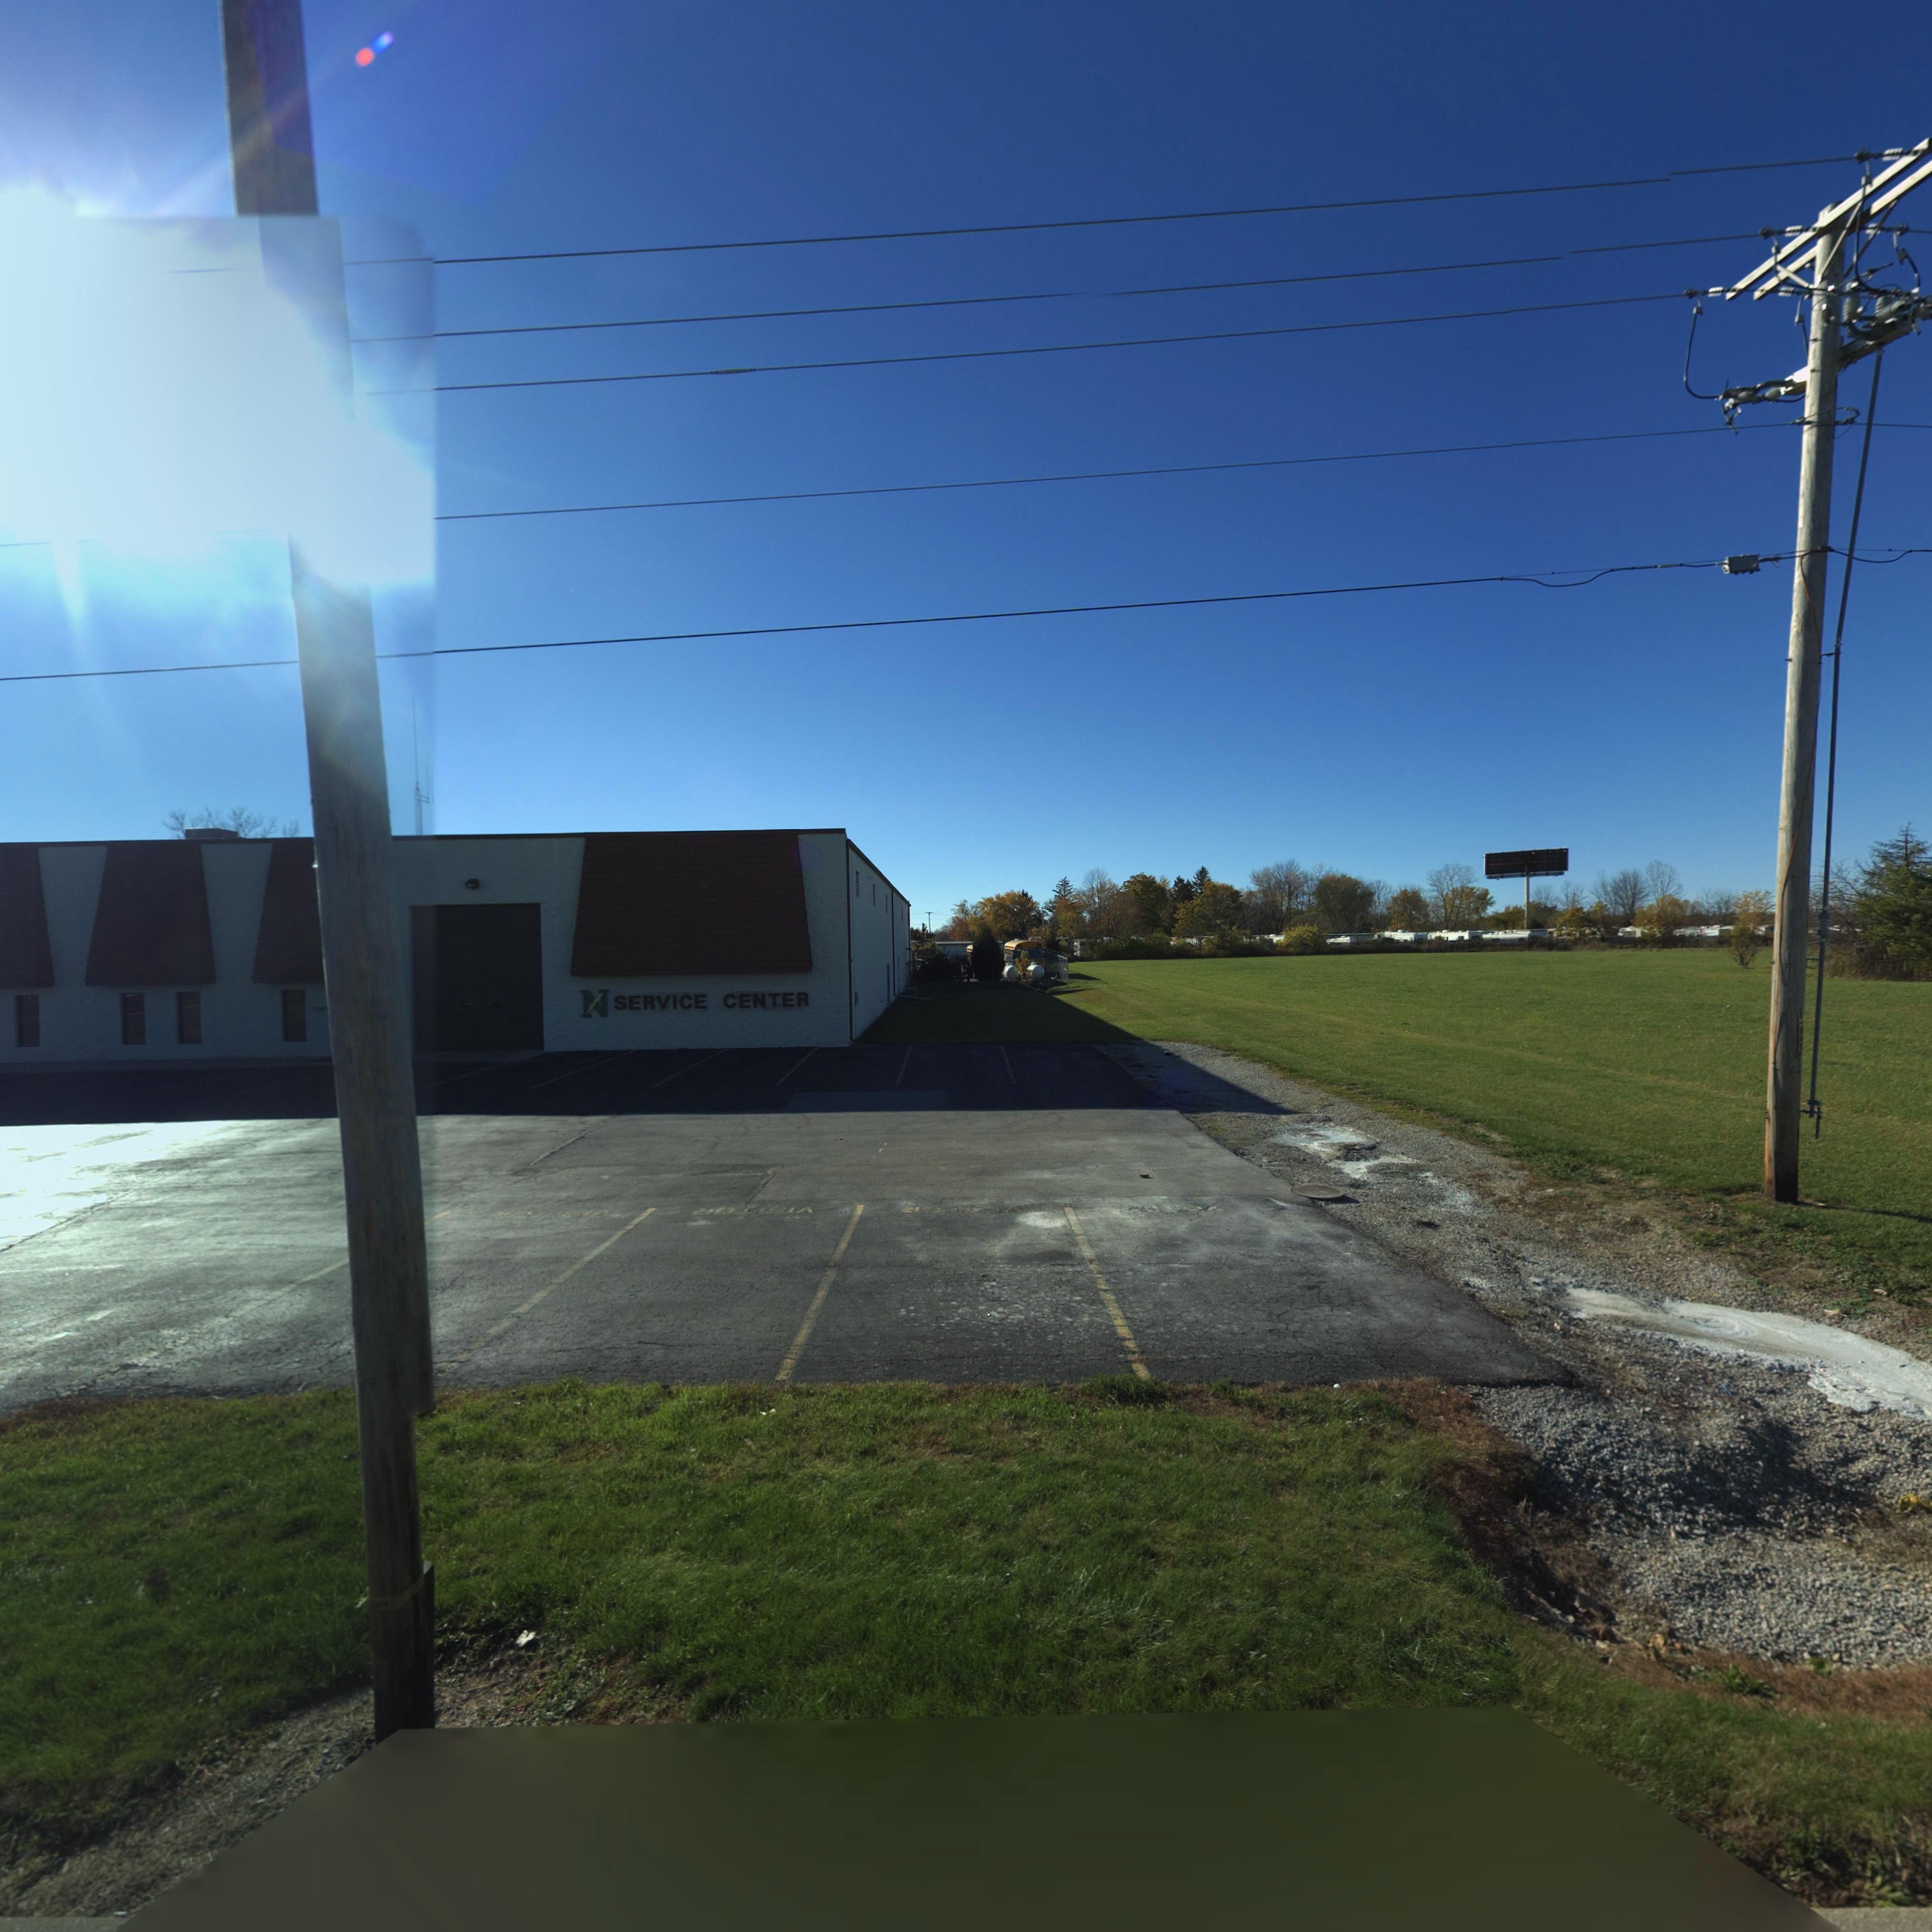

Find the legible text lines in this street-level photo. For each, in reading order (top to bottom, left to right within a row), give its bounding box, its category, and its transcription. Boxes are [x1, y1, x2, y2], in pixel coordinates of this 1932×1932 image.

[311, 1005, 329, 1012] StreetNumber: 7277